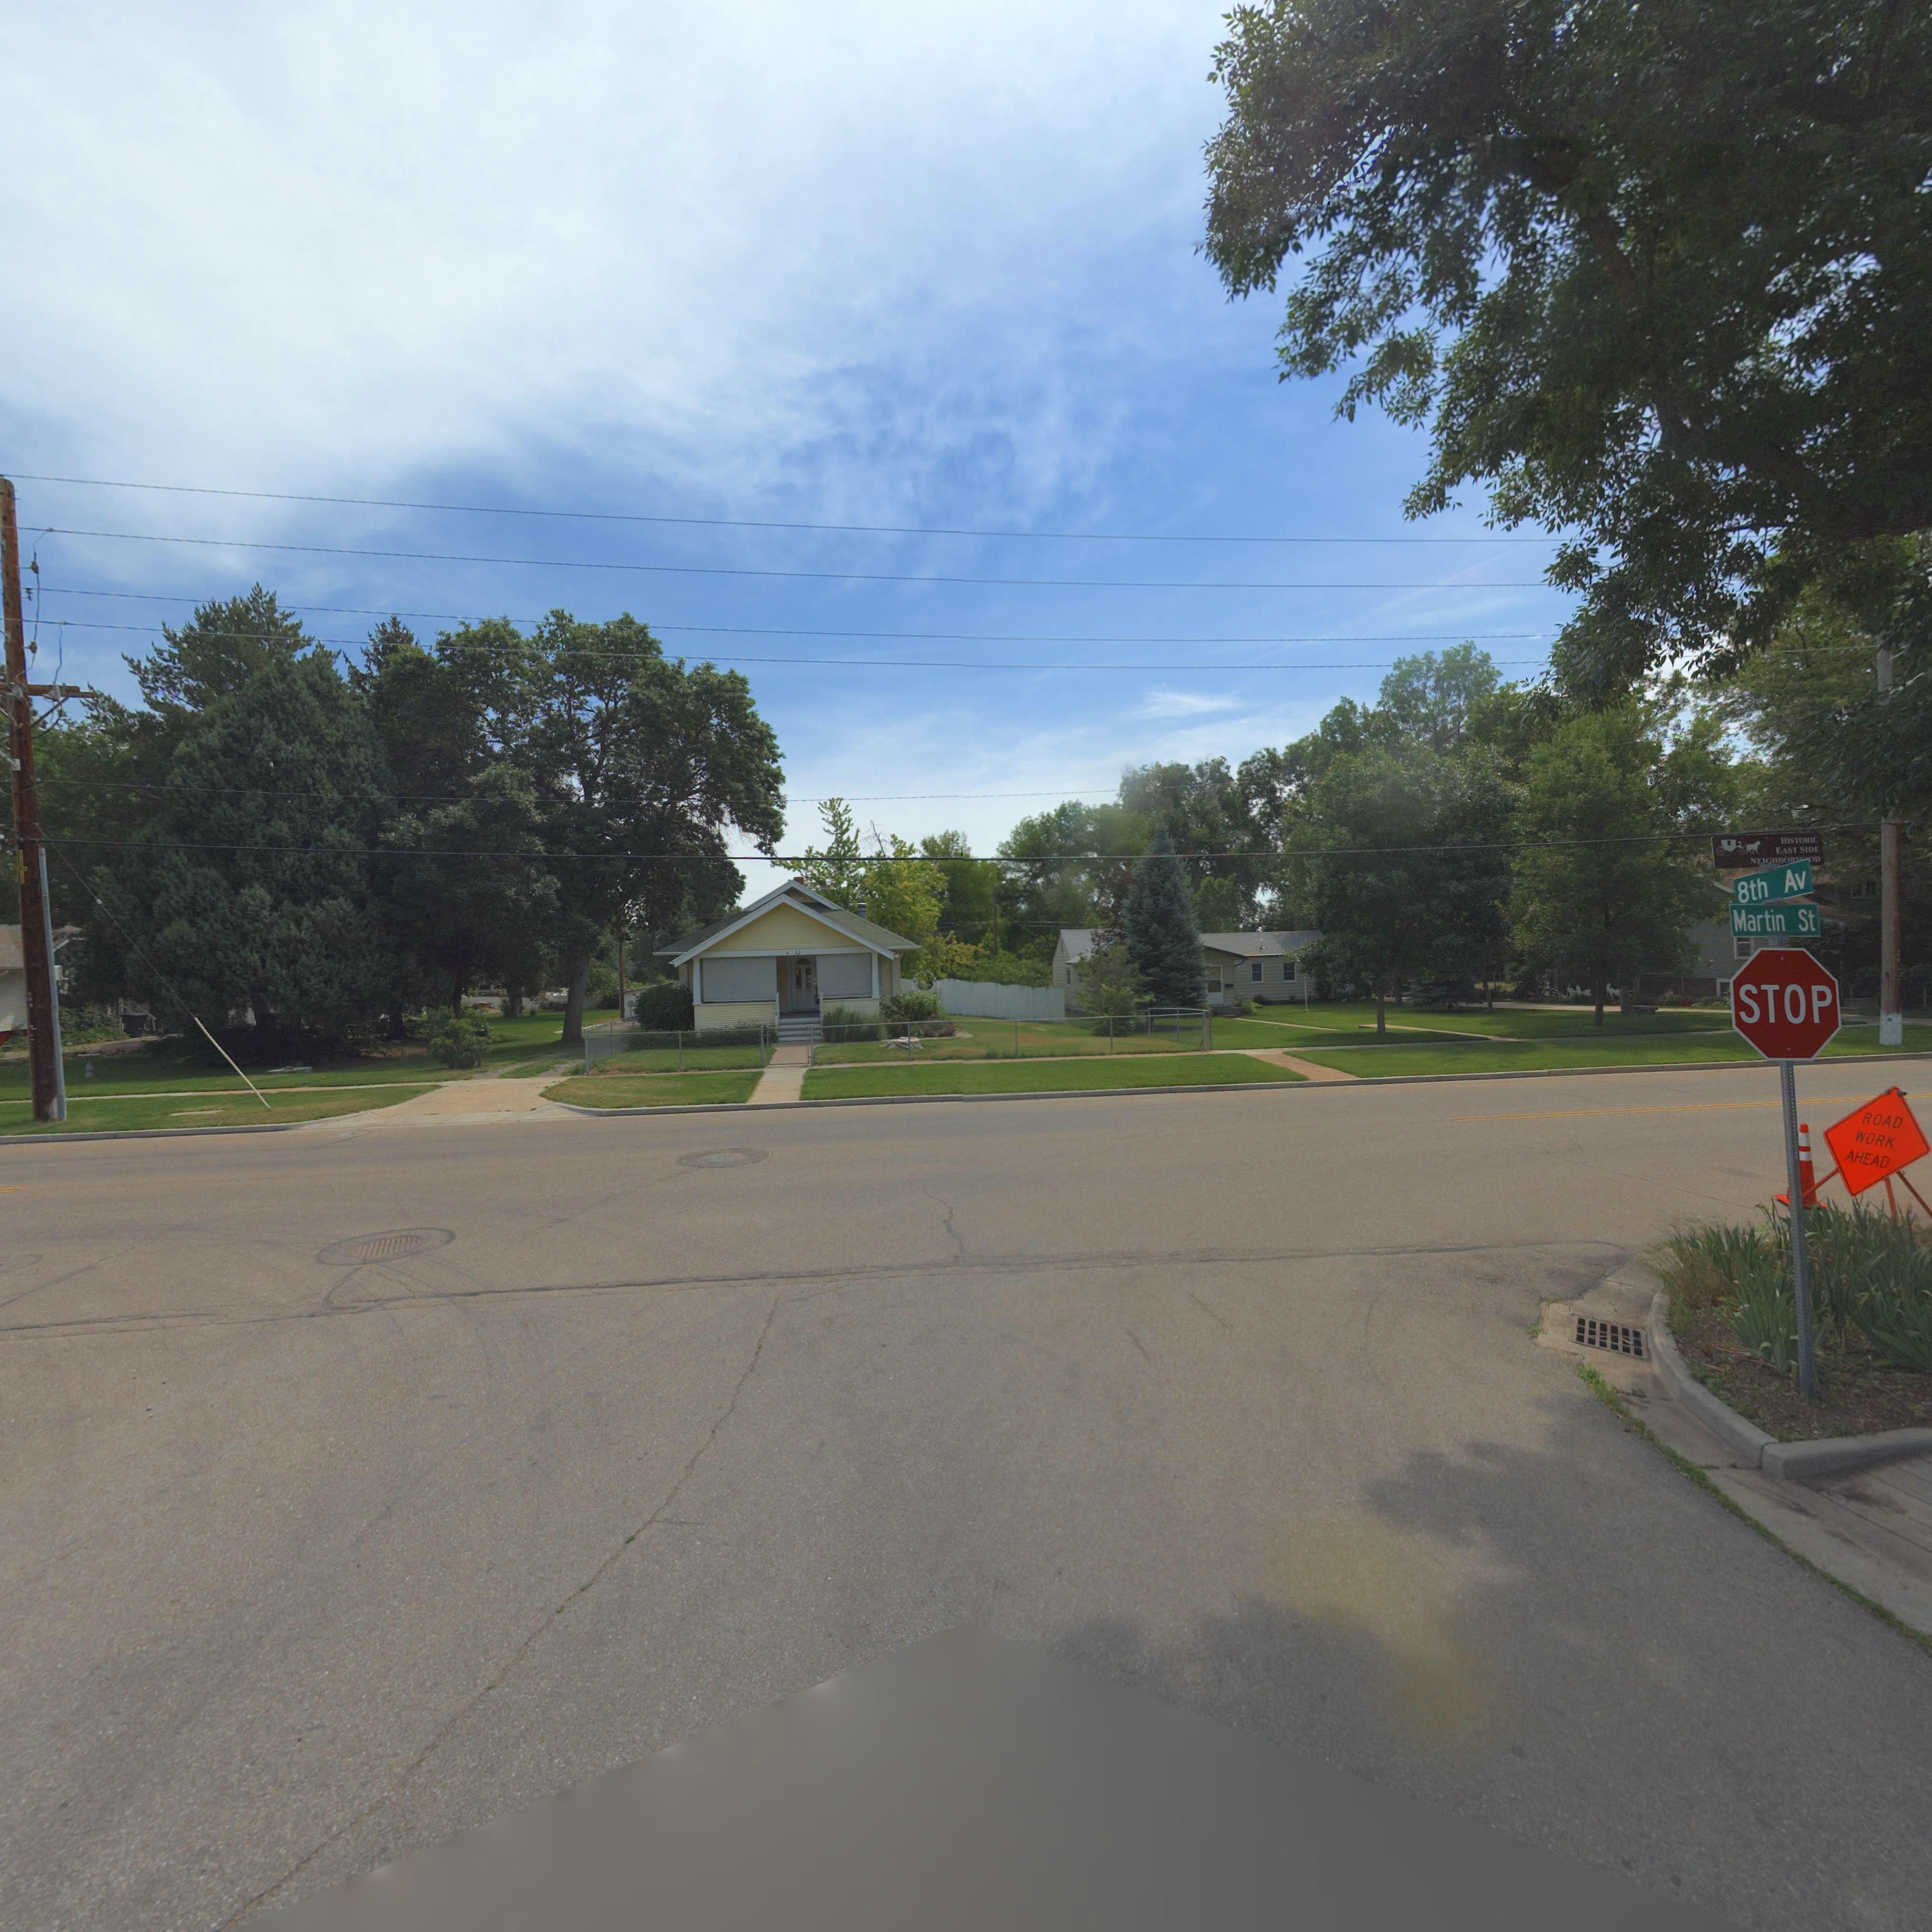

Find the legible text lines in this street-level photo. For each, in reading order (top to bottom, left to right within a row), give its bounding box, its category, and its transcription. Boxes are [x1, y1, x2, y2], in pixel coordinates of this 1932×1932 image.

[1736, 868, 1808, 905] StreetName: 8th Av
[1732, 908, 1817, 932] StreetName: Martin St